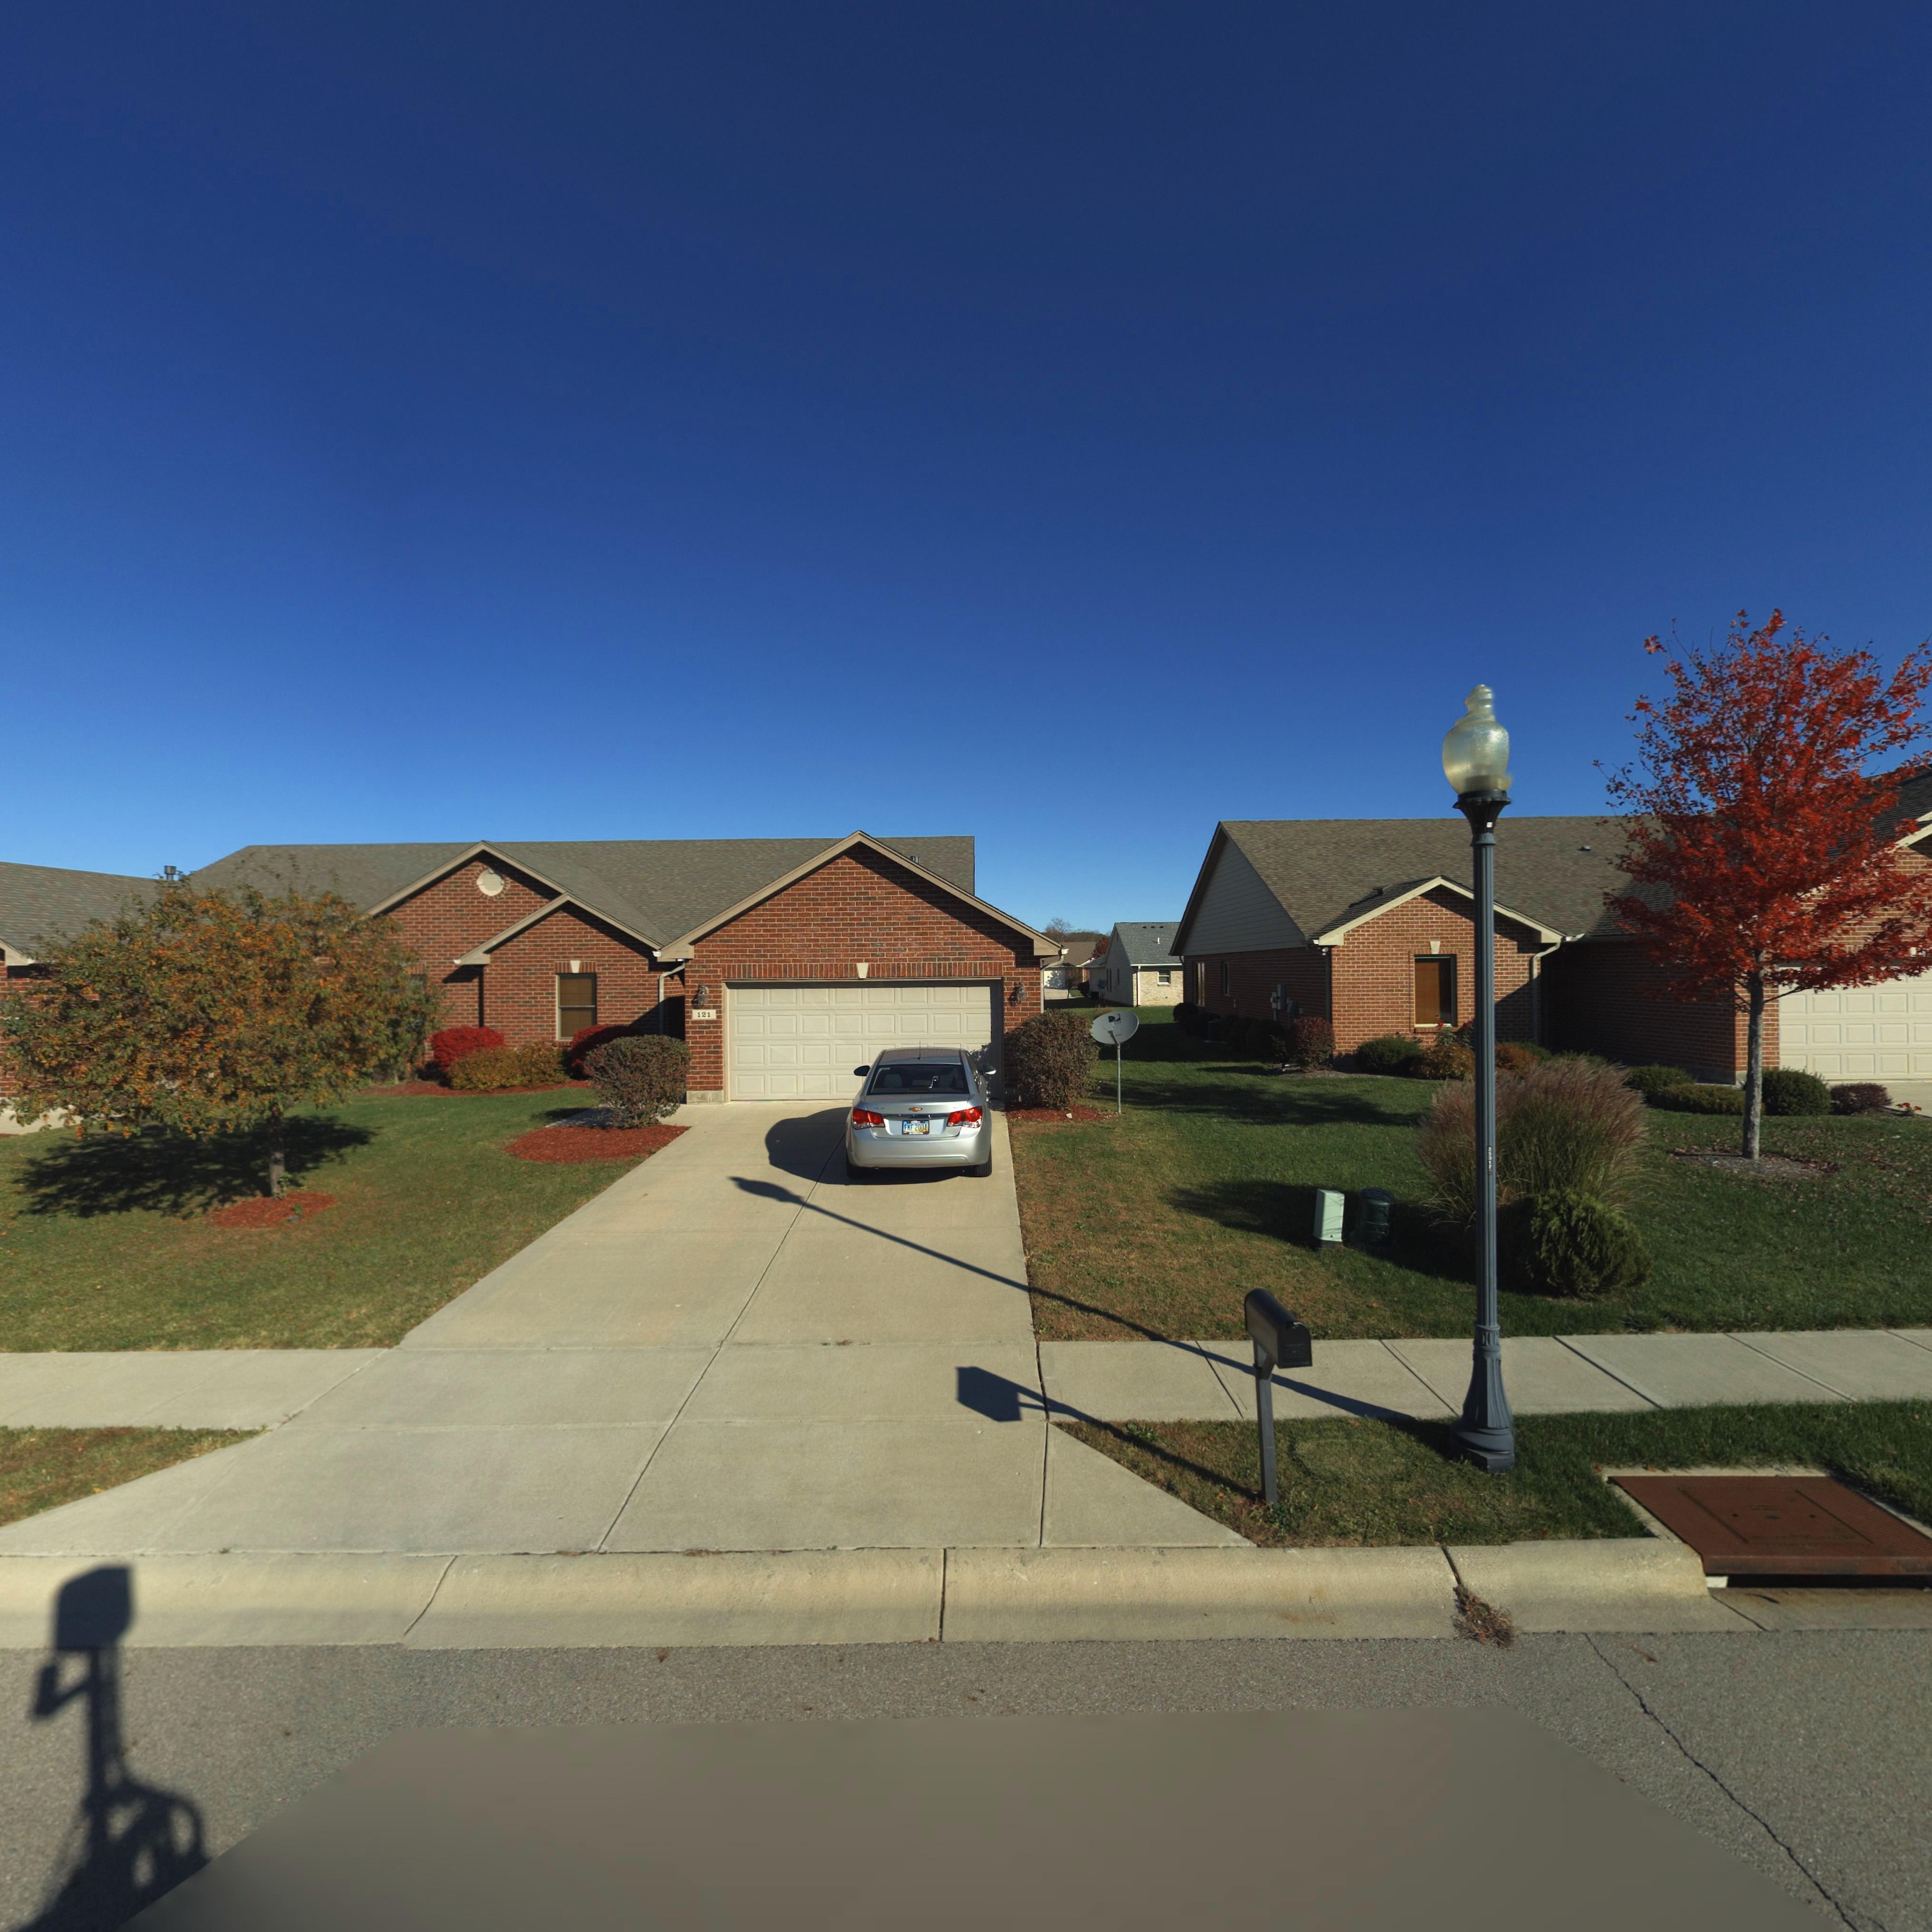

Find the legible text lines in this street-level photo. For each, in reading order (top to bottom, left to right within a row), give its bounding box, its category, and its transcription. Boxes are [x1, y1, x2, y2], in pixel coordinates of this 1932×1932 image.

[696, 1011, 711, 1018] StreetNumber: 121